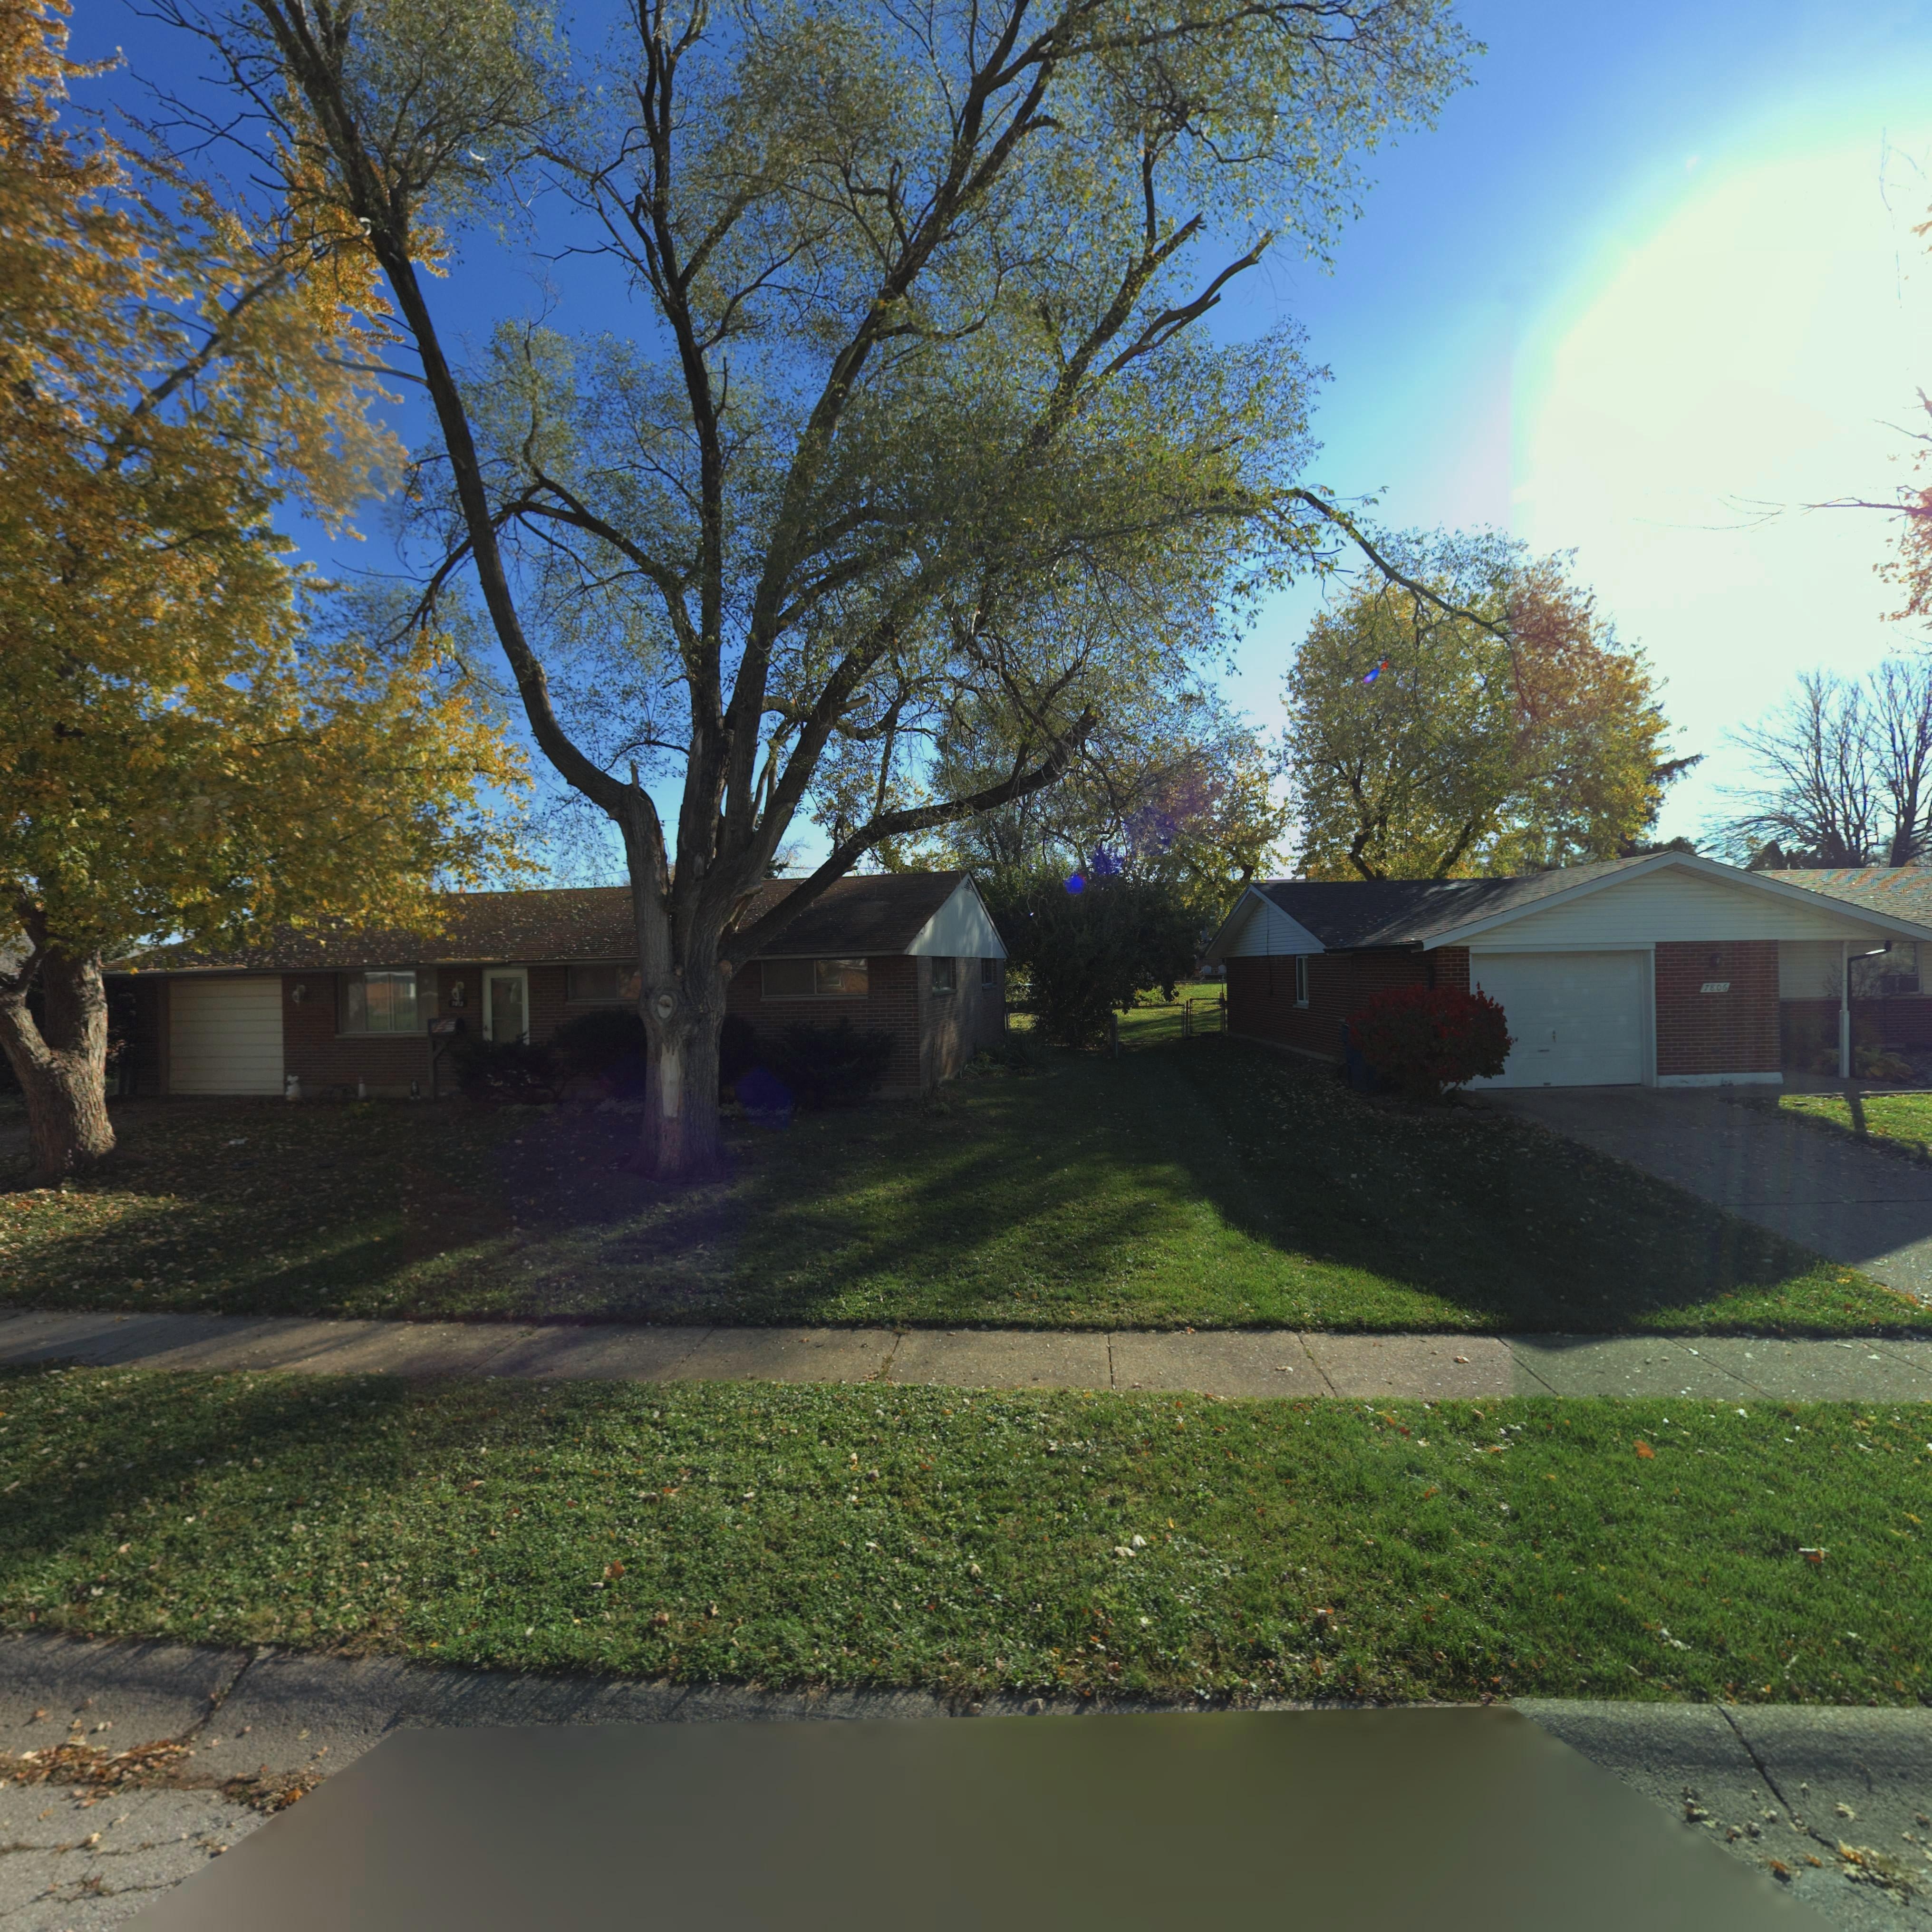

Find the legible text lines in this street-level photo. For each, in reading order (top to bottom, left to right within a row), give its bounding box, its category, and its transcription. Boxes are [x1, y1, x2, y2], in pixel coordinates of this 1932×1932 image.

[1703, 982, 1729, 993] StreetNumber: 7806